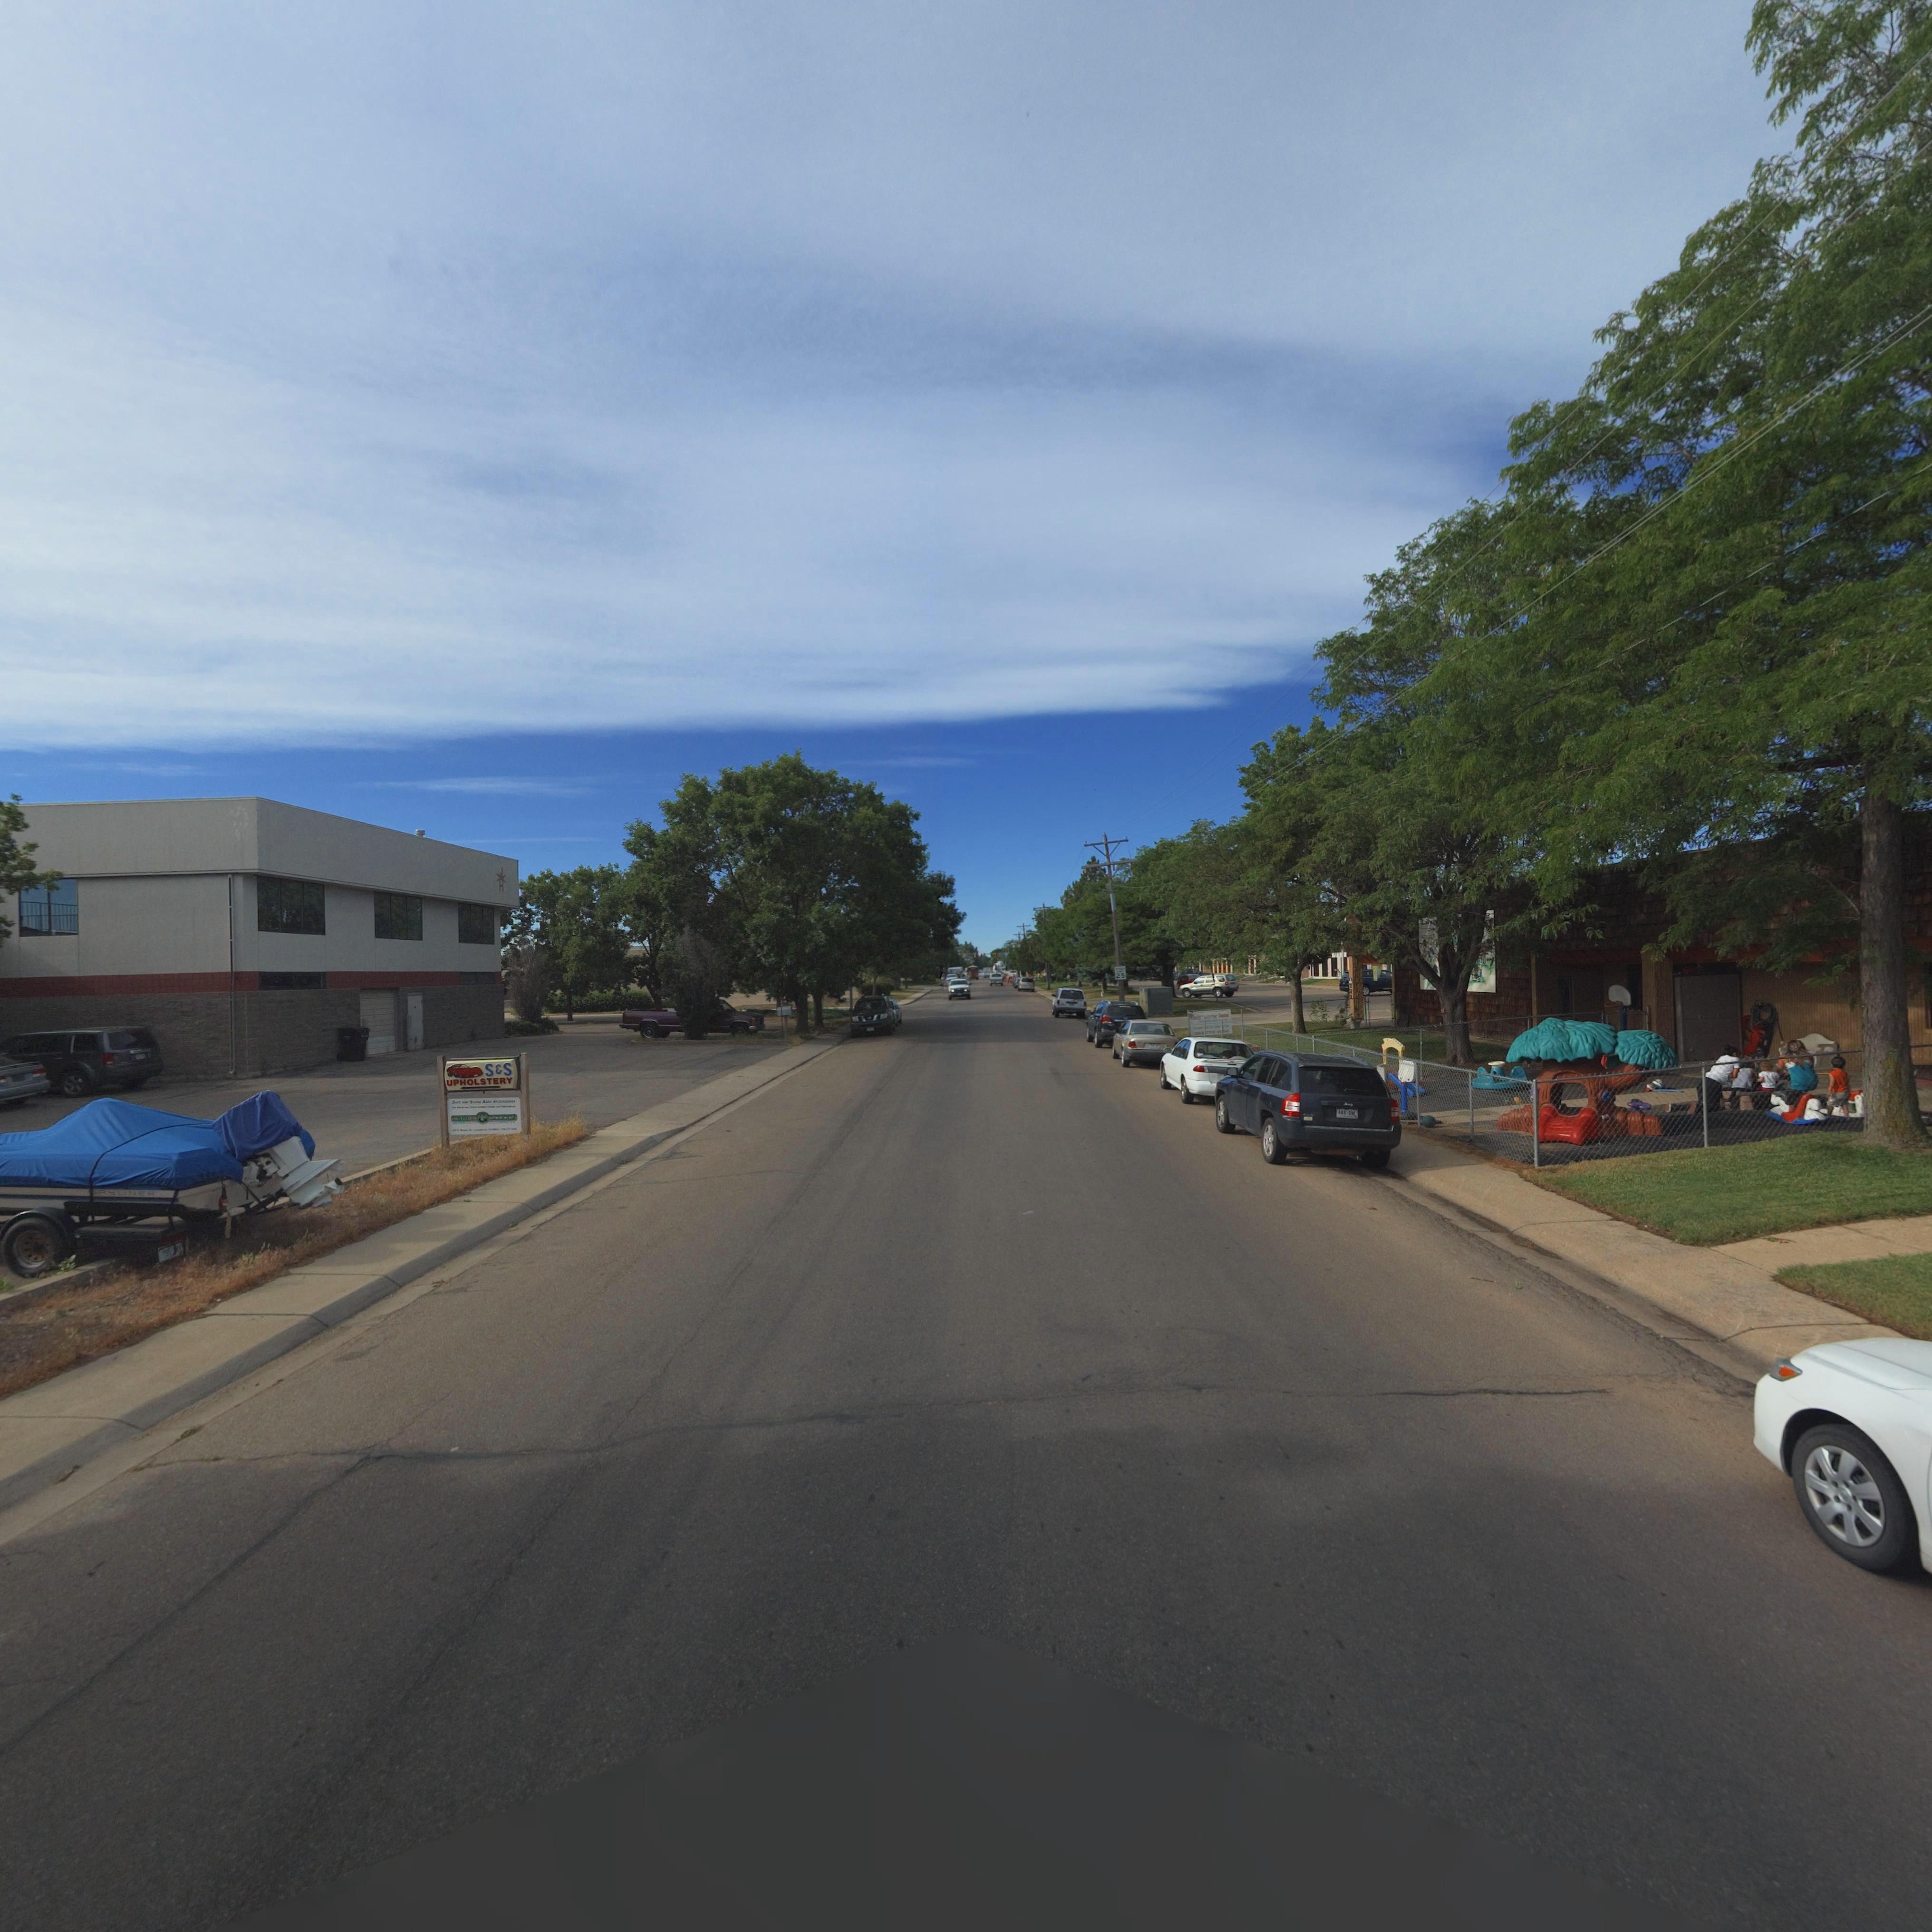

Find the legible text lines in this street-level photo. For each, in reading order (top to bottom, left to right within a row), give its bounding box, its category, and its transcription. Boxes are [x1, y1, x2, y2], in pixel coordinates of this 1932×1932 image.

[499, 866, 504, 891] BusinessName: J*H
[1349, 984, 1352, 999] None: 20*
[1217, 1013, 1229, 1018] BusinessName: C*****
[484, 1062, 512, 1077] BusinessName: S&S
[445, 1076, 513, 1086] BusinessName: UPHOLSTERY
[451, 1099, 516, 1104] BusinessName: S*** A** S**** A*** A**********
[455, 1112, 512, 1123] BusinessName: SAFE & SOUND